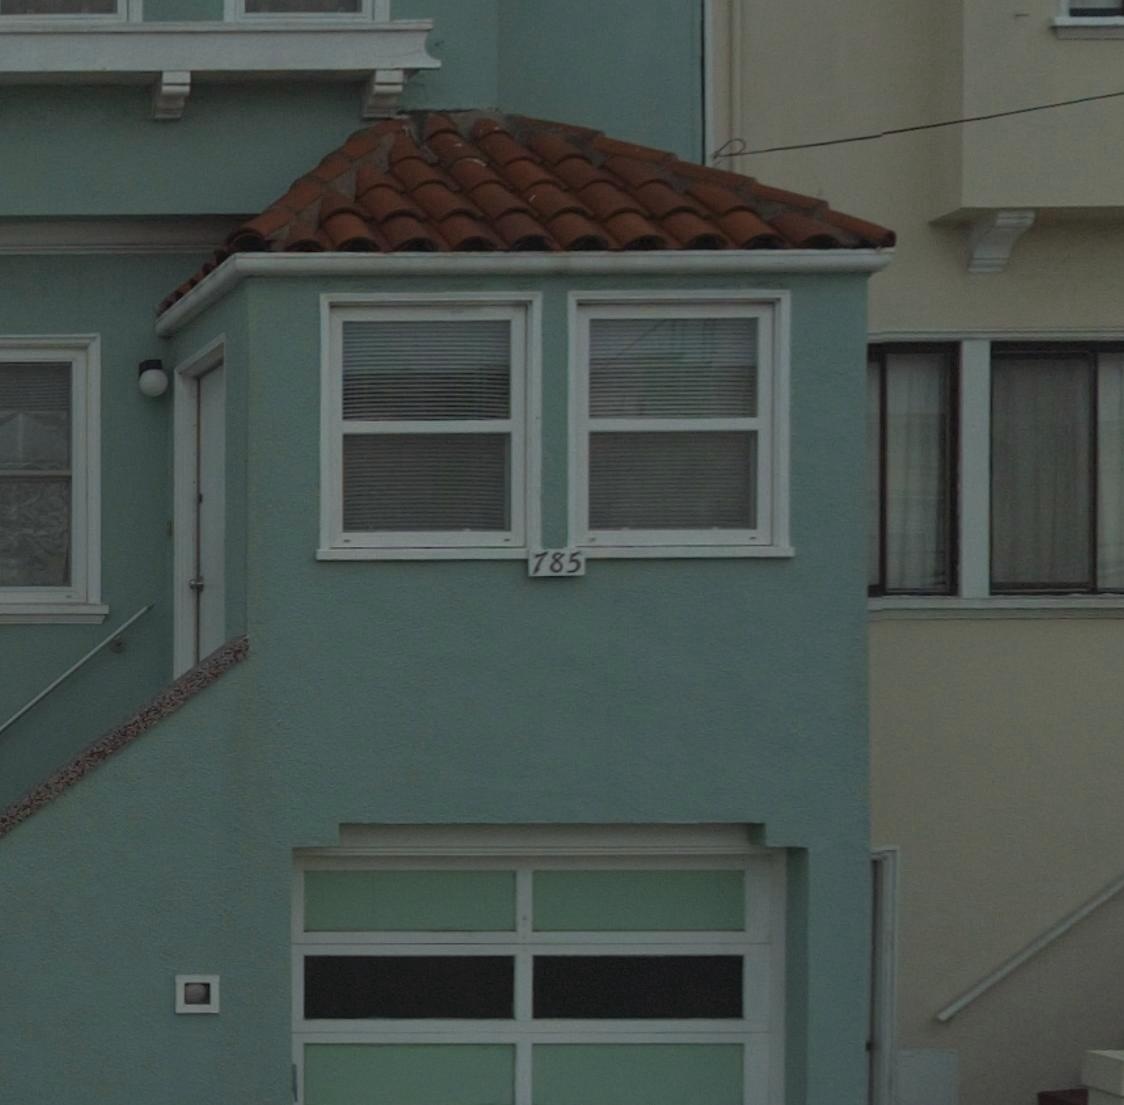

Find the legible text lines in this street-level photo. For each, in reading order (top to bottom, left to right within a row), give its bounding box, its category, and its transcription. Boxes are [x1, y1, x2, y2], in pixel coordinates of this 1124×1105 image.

[532, 549, 583, 575] StreetNumber: 785